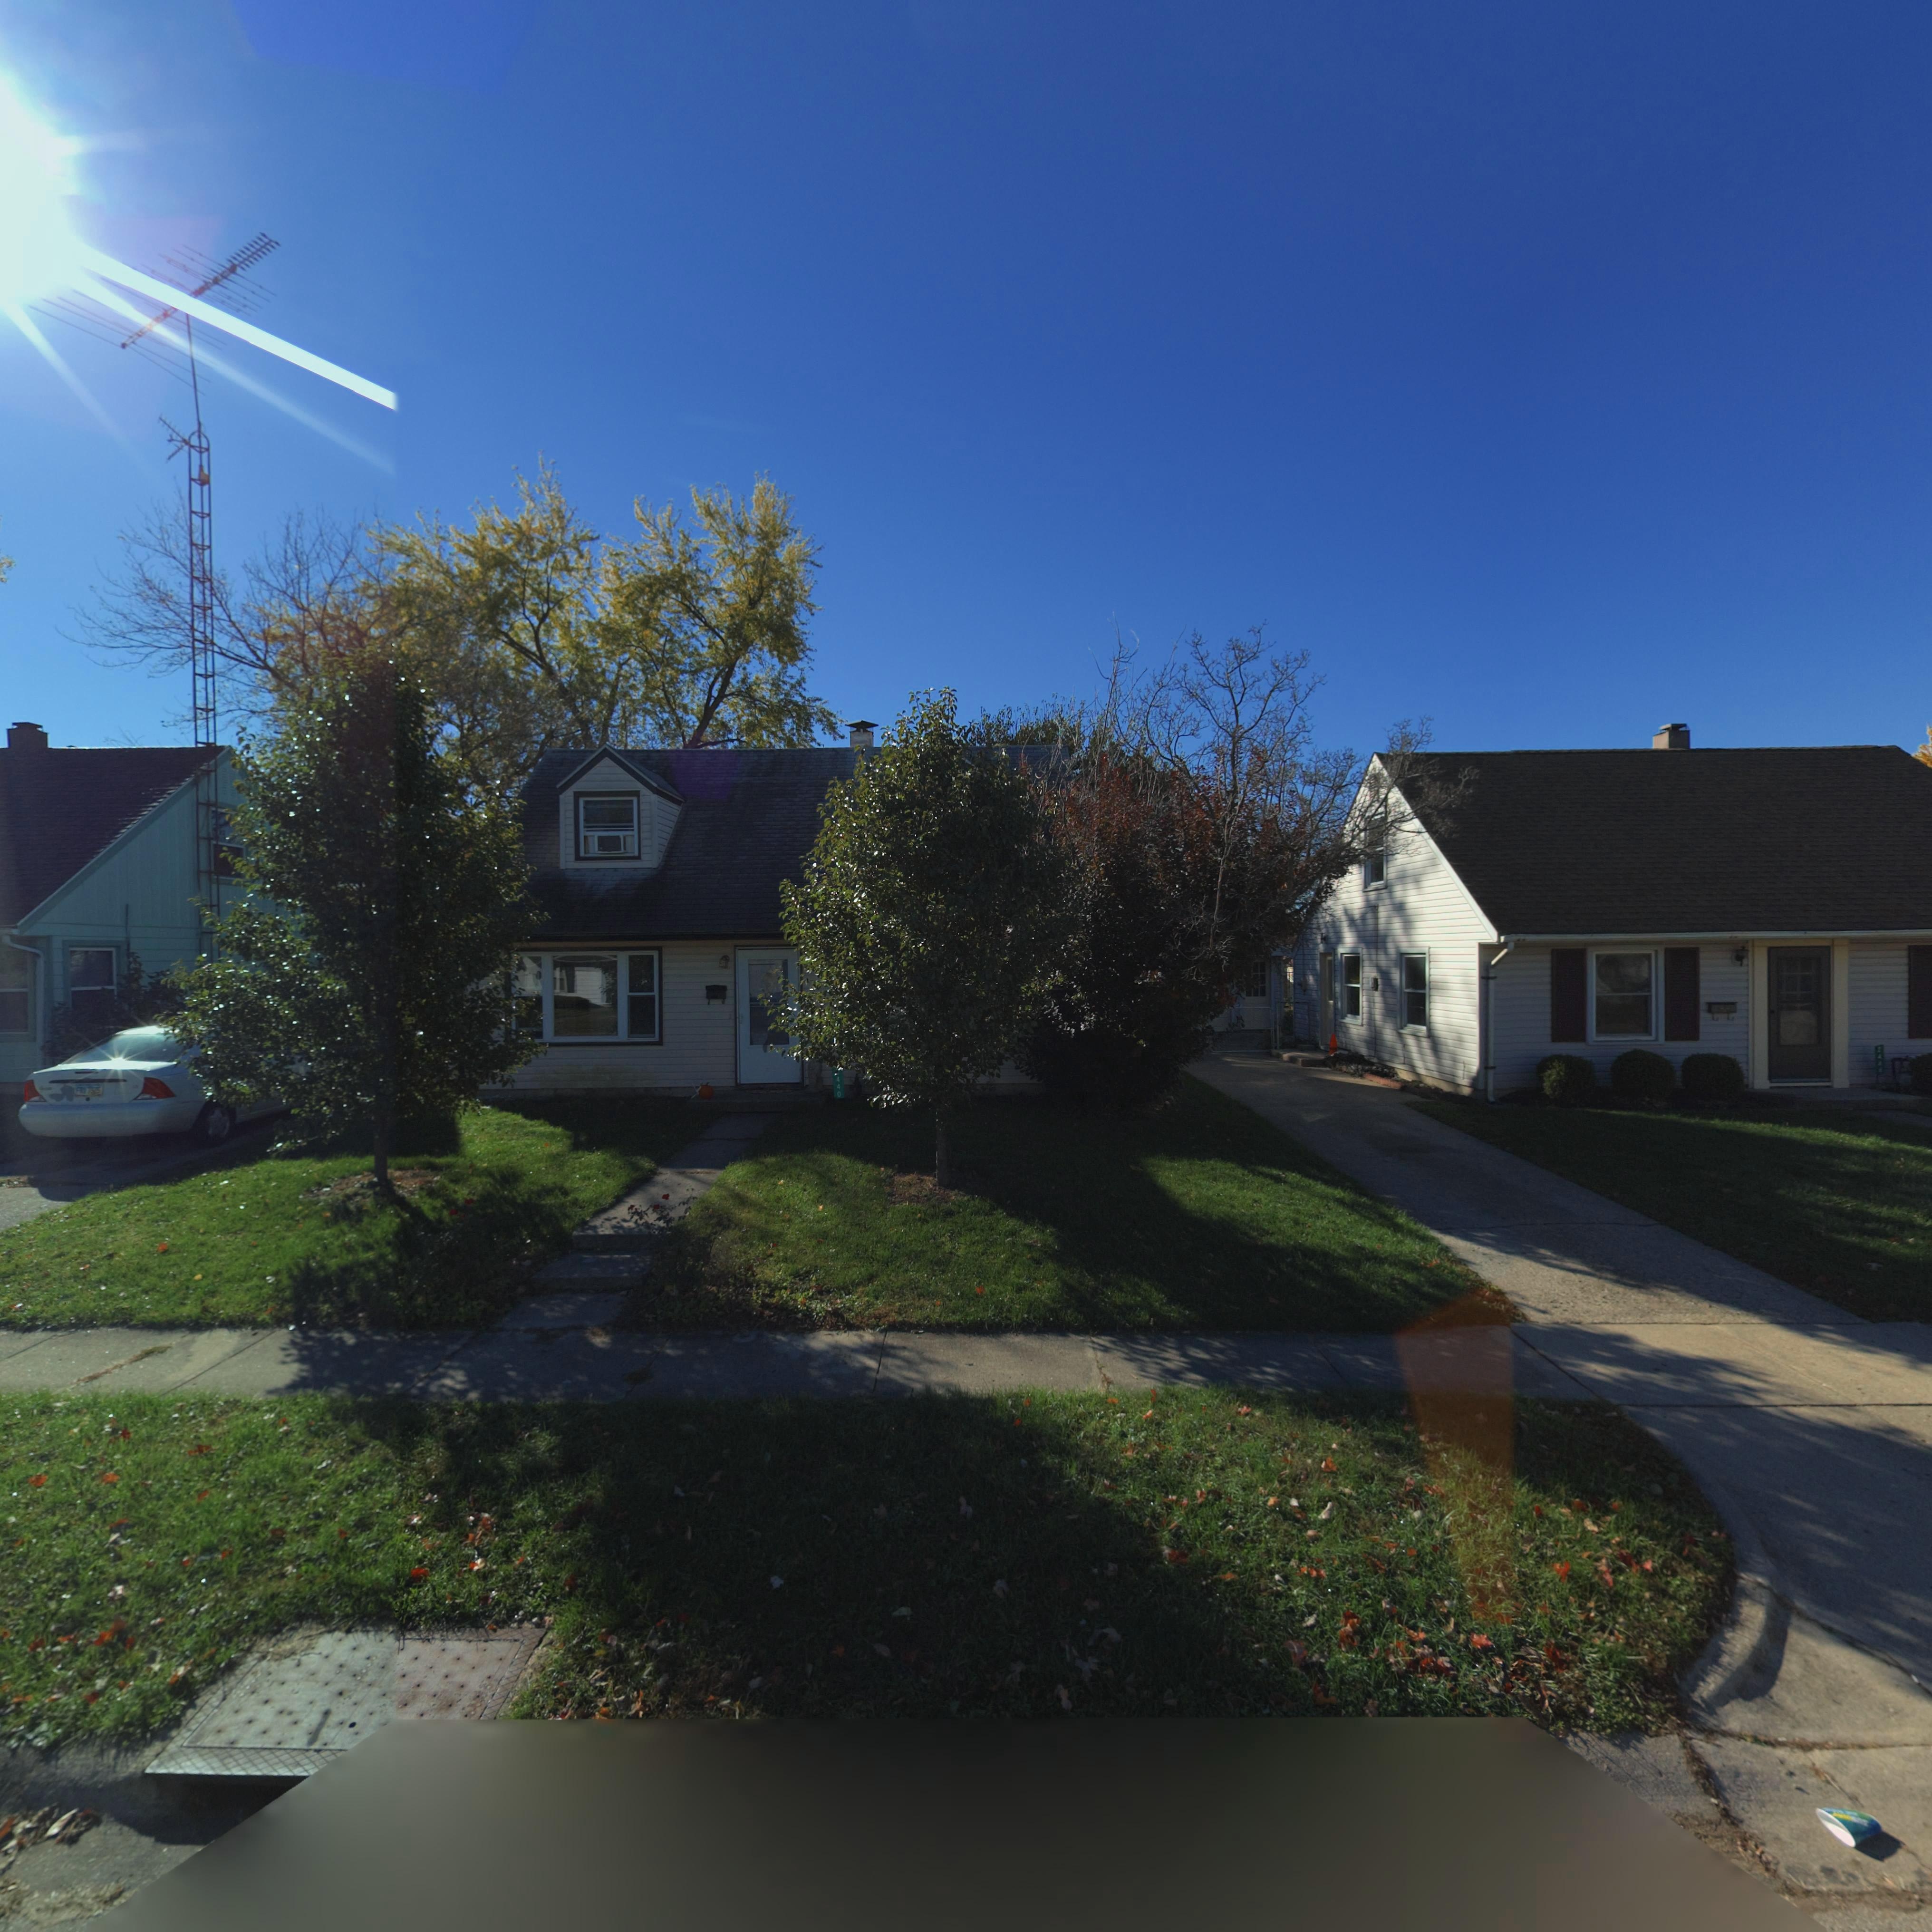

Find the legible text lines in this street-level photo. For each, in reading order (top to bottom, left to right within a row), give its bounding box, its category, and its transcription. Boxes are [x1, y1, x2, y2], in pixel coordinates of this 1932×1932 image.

[835, 1075, 842, 1098] StreetNumber: 440